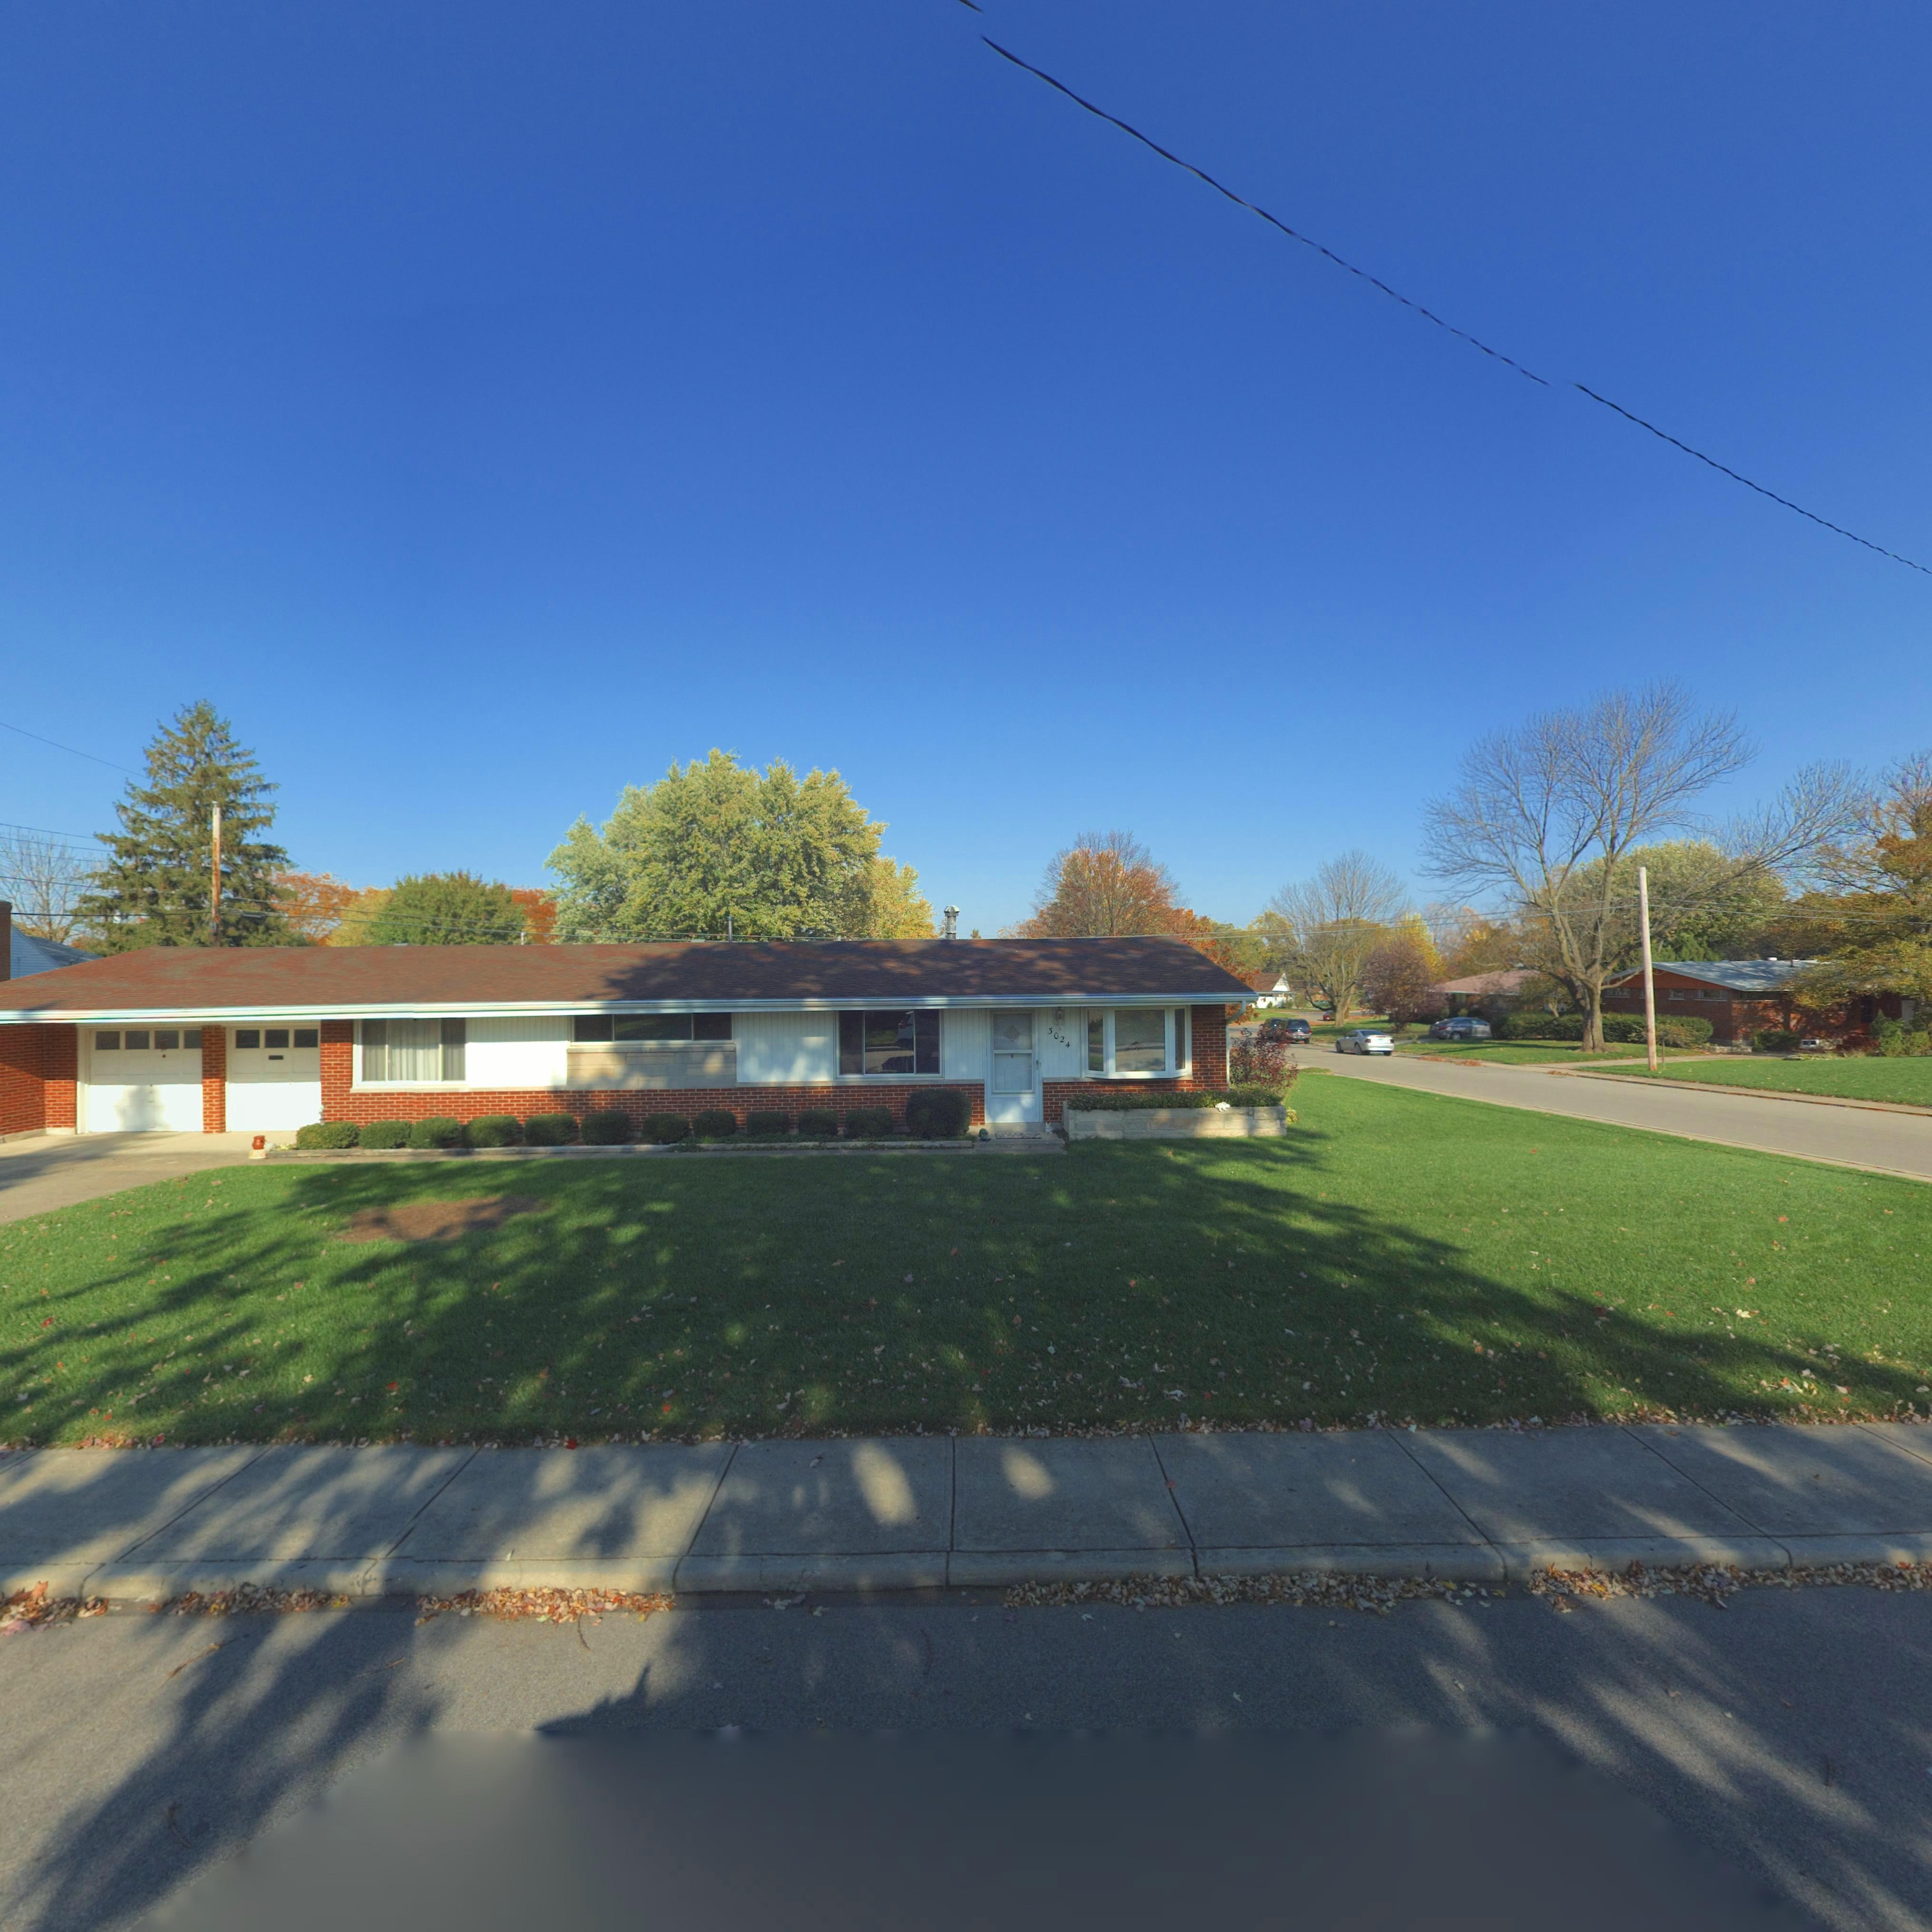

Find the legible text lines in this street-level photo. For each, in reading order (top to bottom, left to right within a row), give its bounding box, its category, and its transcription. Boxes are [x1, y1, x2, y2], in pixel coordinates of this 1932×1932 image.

[1047, 1027, 1071, 1049] StreetNumber: 3024